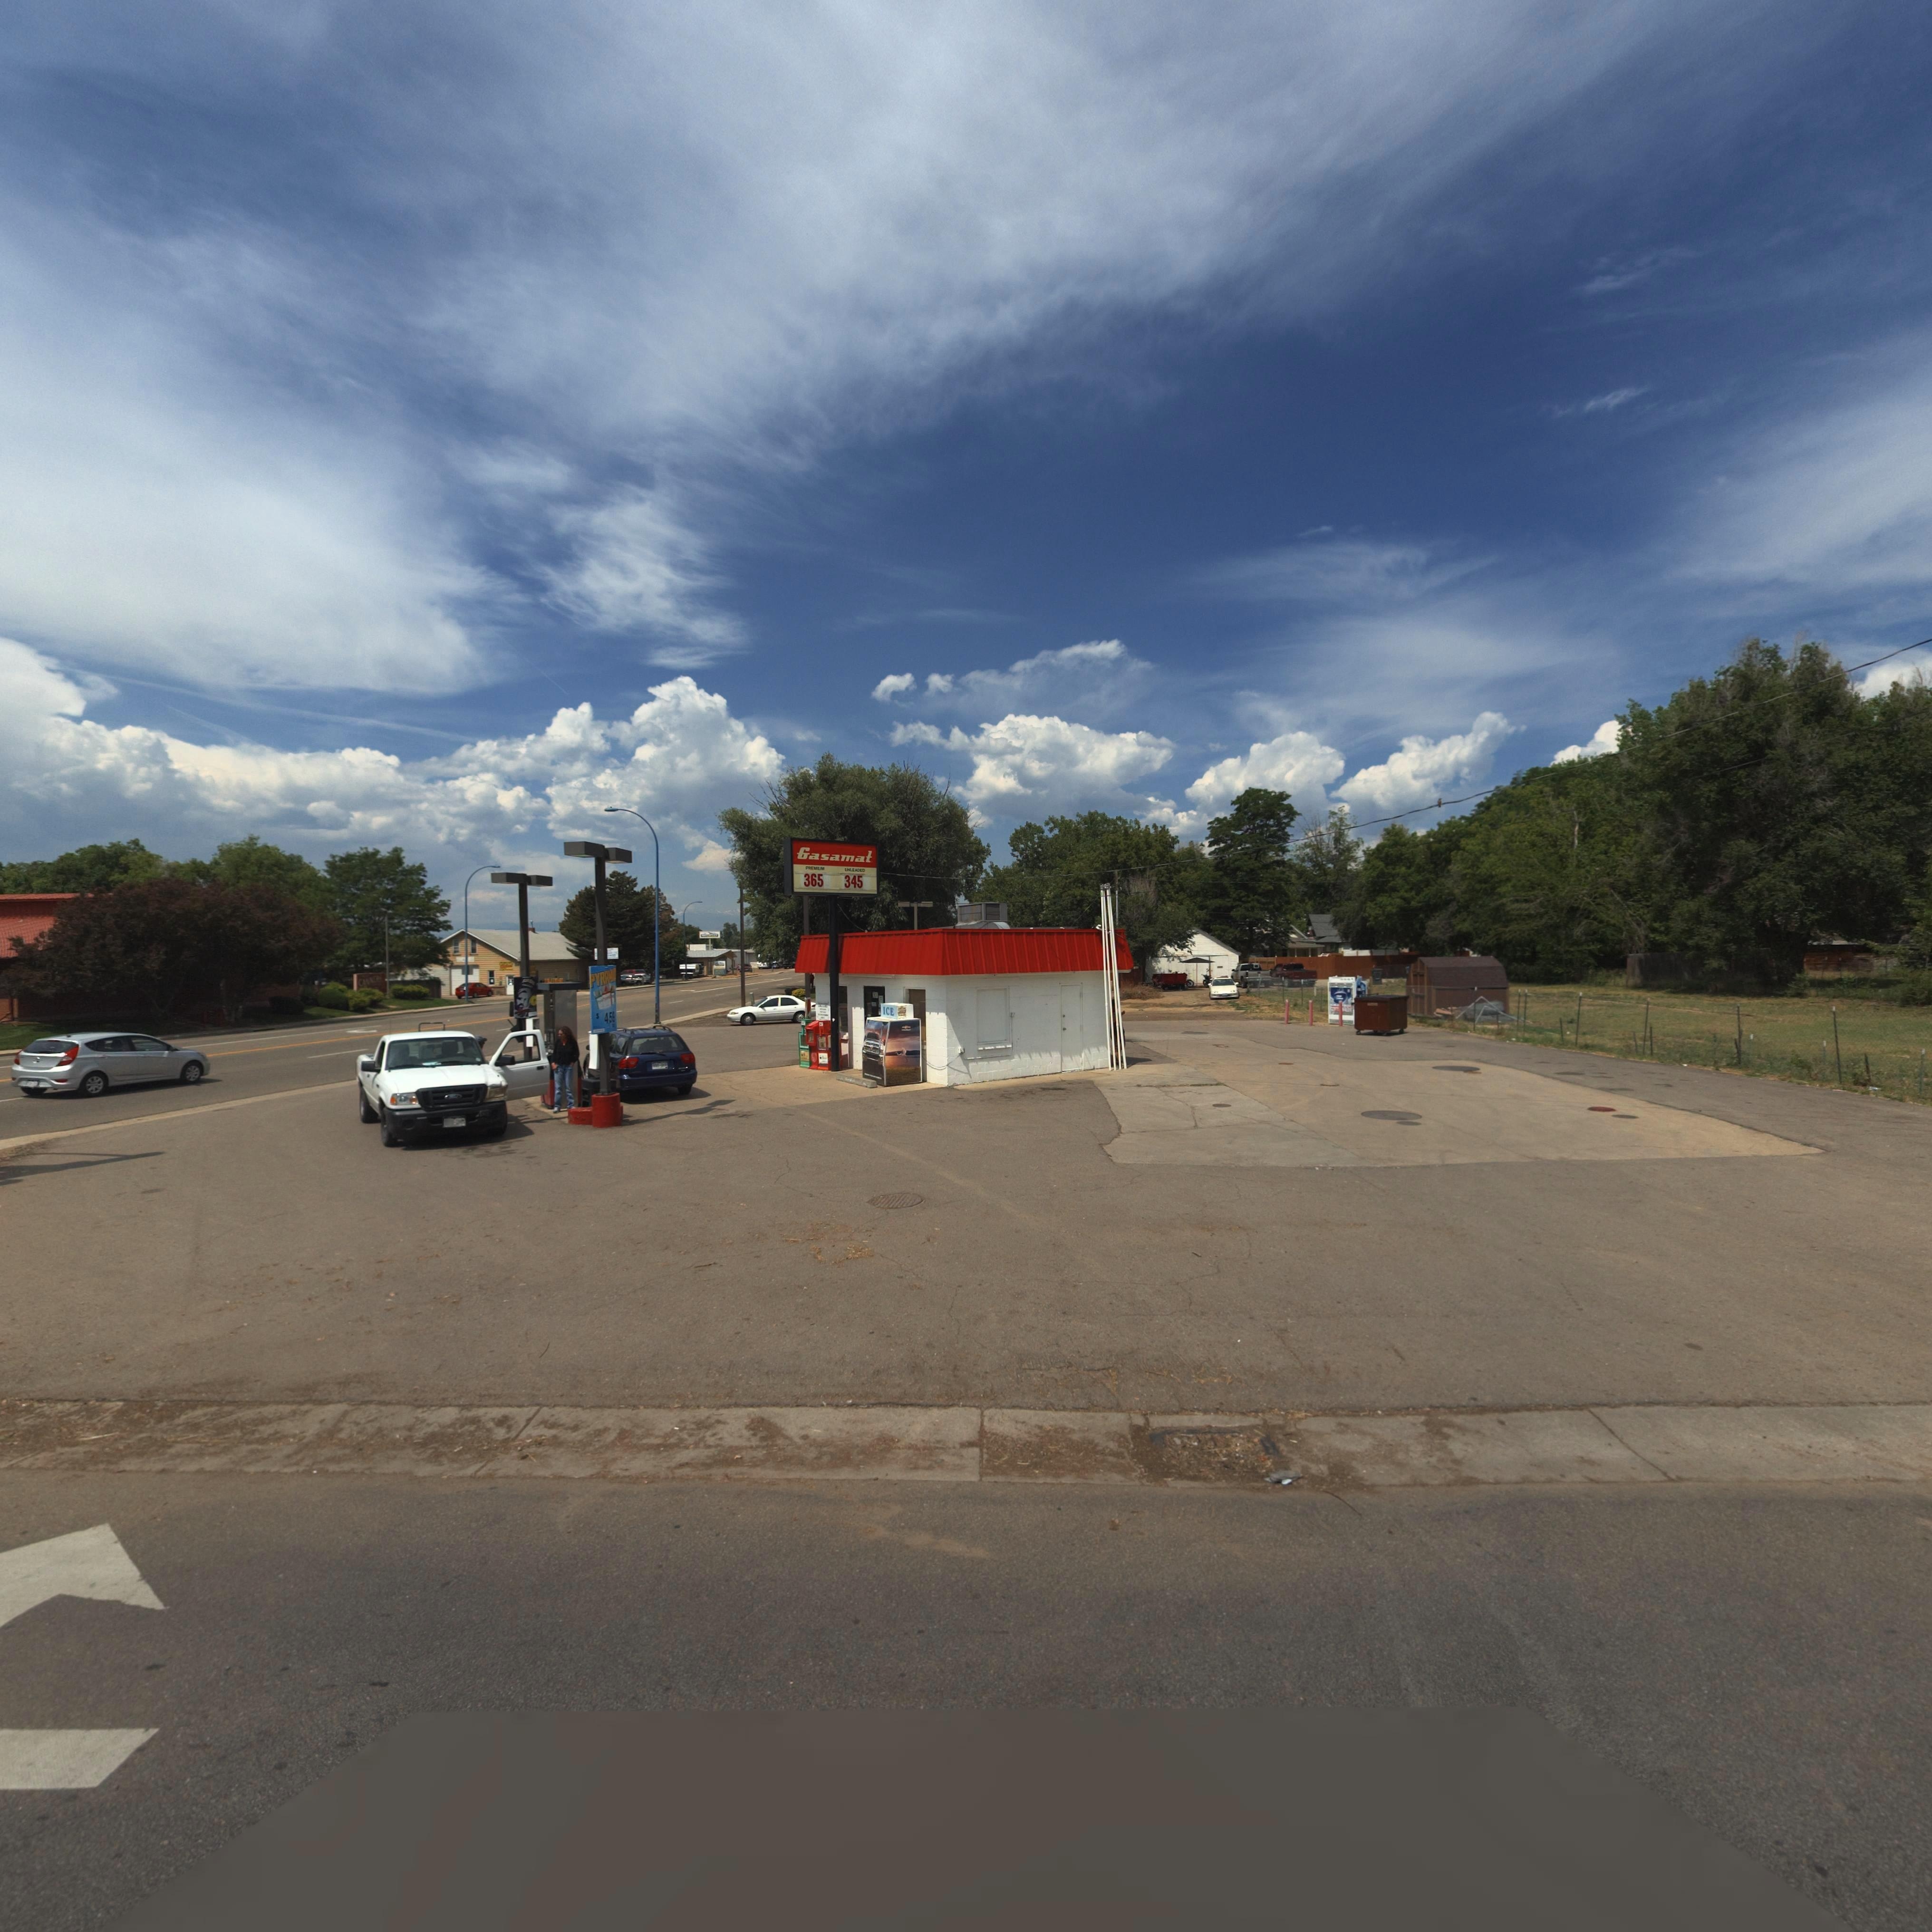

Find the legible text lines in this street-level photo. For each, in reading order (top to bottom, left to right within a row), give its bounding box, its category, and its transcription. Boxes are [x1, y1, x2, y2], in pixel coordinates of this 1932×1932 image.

[797, 847, 873, 863] BusinessName: Gasamat